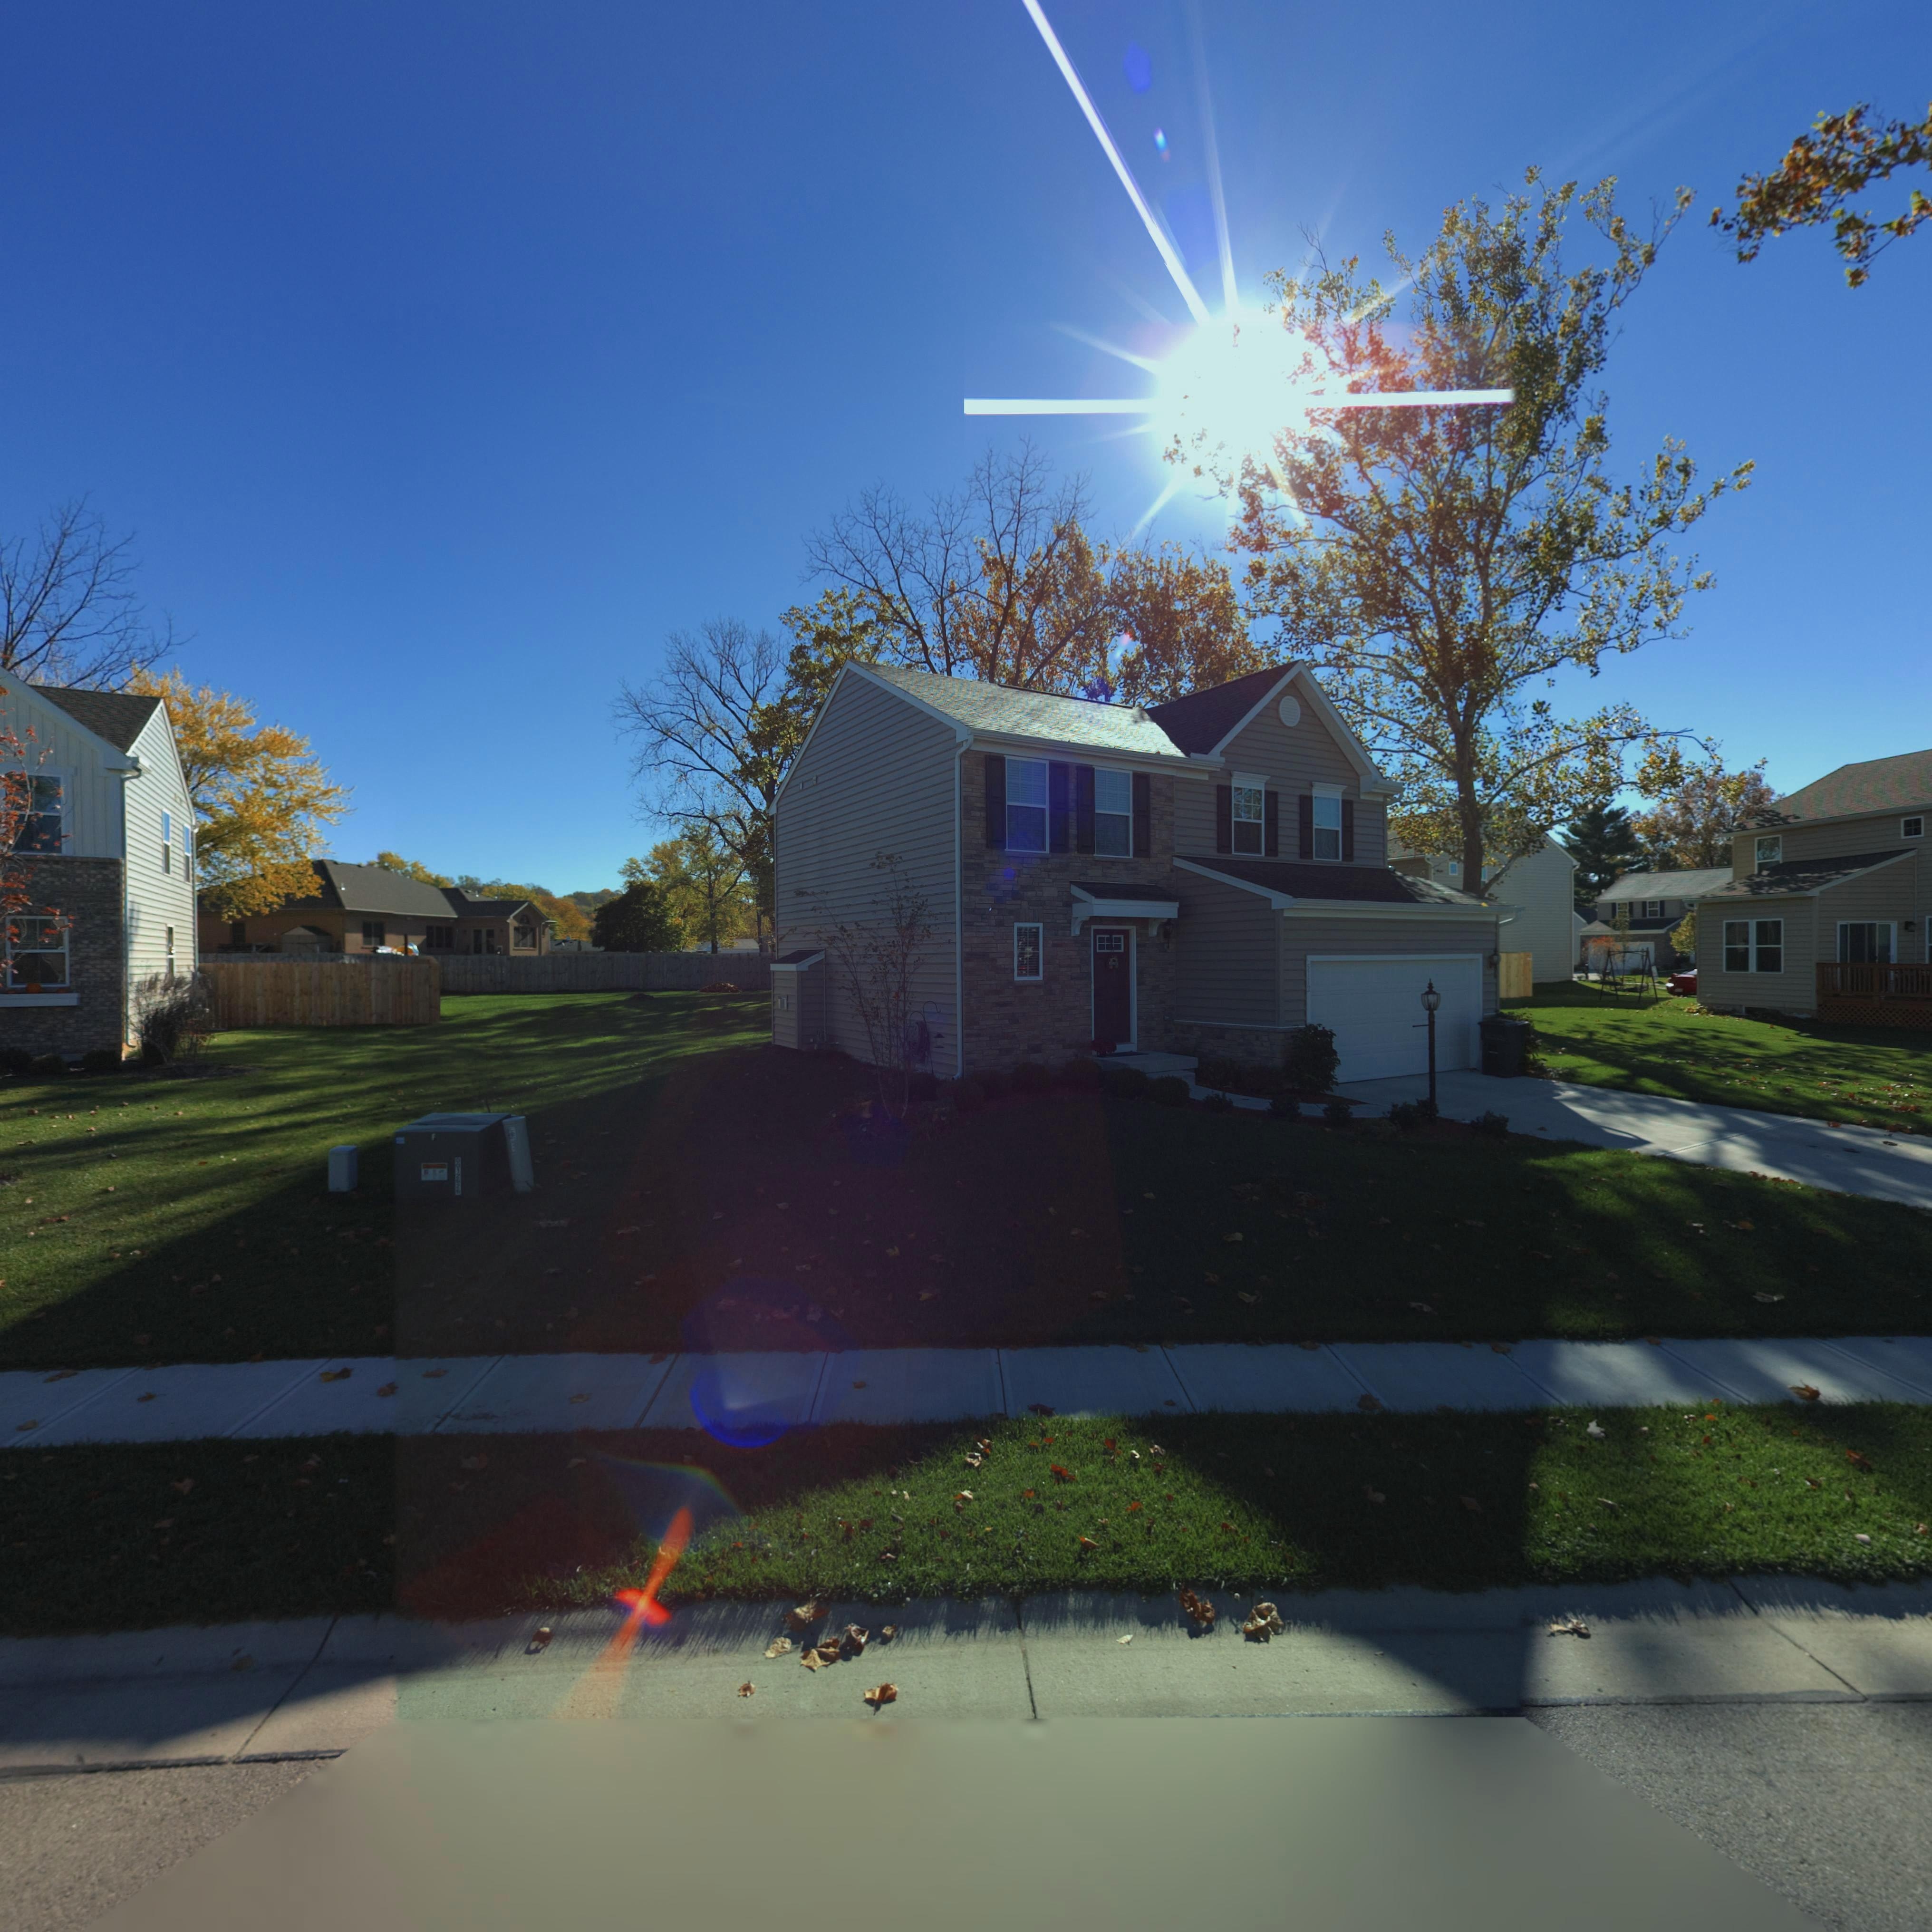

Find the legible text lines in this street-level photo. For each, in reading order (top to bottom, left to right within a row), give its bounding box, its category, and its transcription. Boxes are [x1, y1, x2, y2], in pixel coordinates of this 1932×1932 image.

[1306, 963, 1311, 993] StreetNumber: 5112